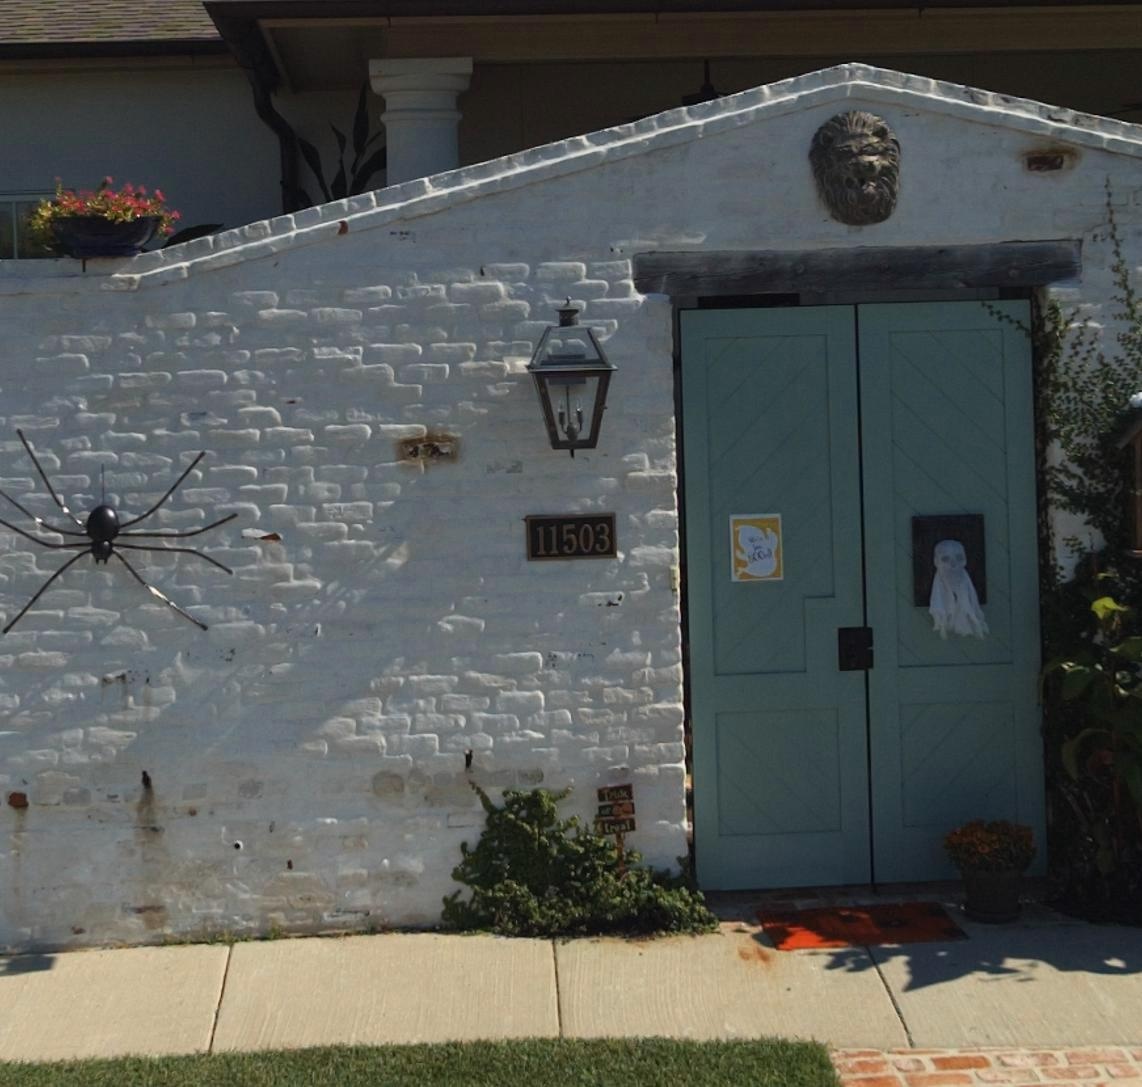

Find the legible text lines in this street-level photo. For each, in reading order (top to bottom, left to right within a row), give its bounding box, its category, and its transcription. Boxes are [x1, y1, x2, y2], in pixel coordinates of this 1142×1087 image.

[534, 521, 611, 556] StreetNumber: 11503